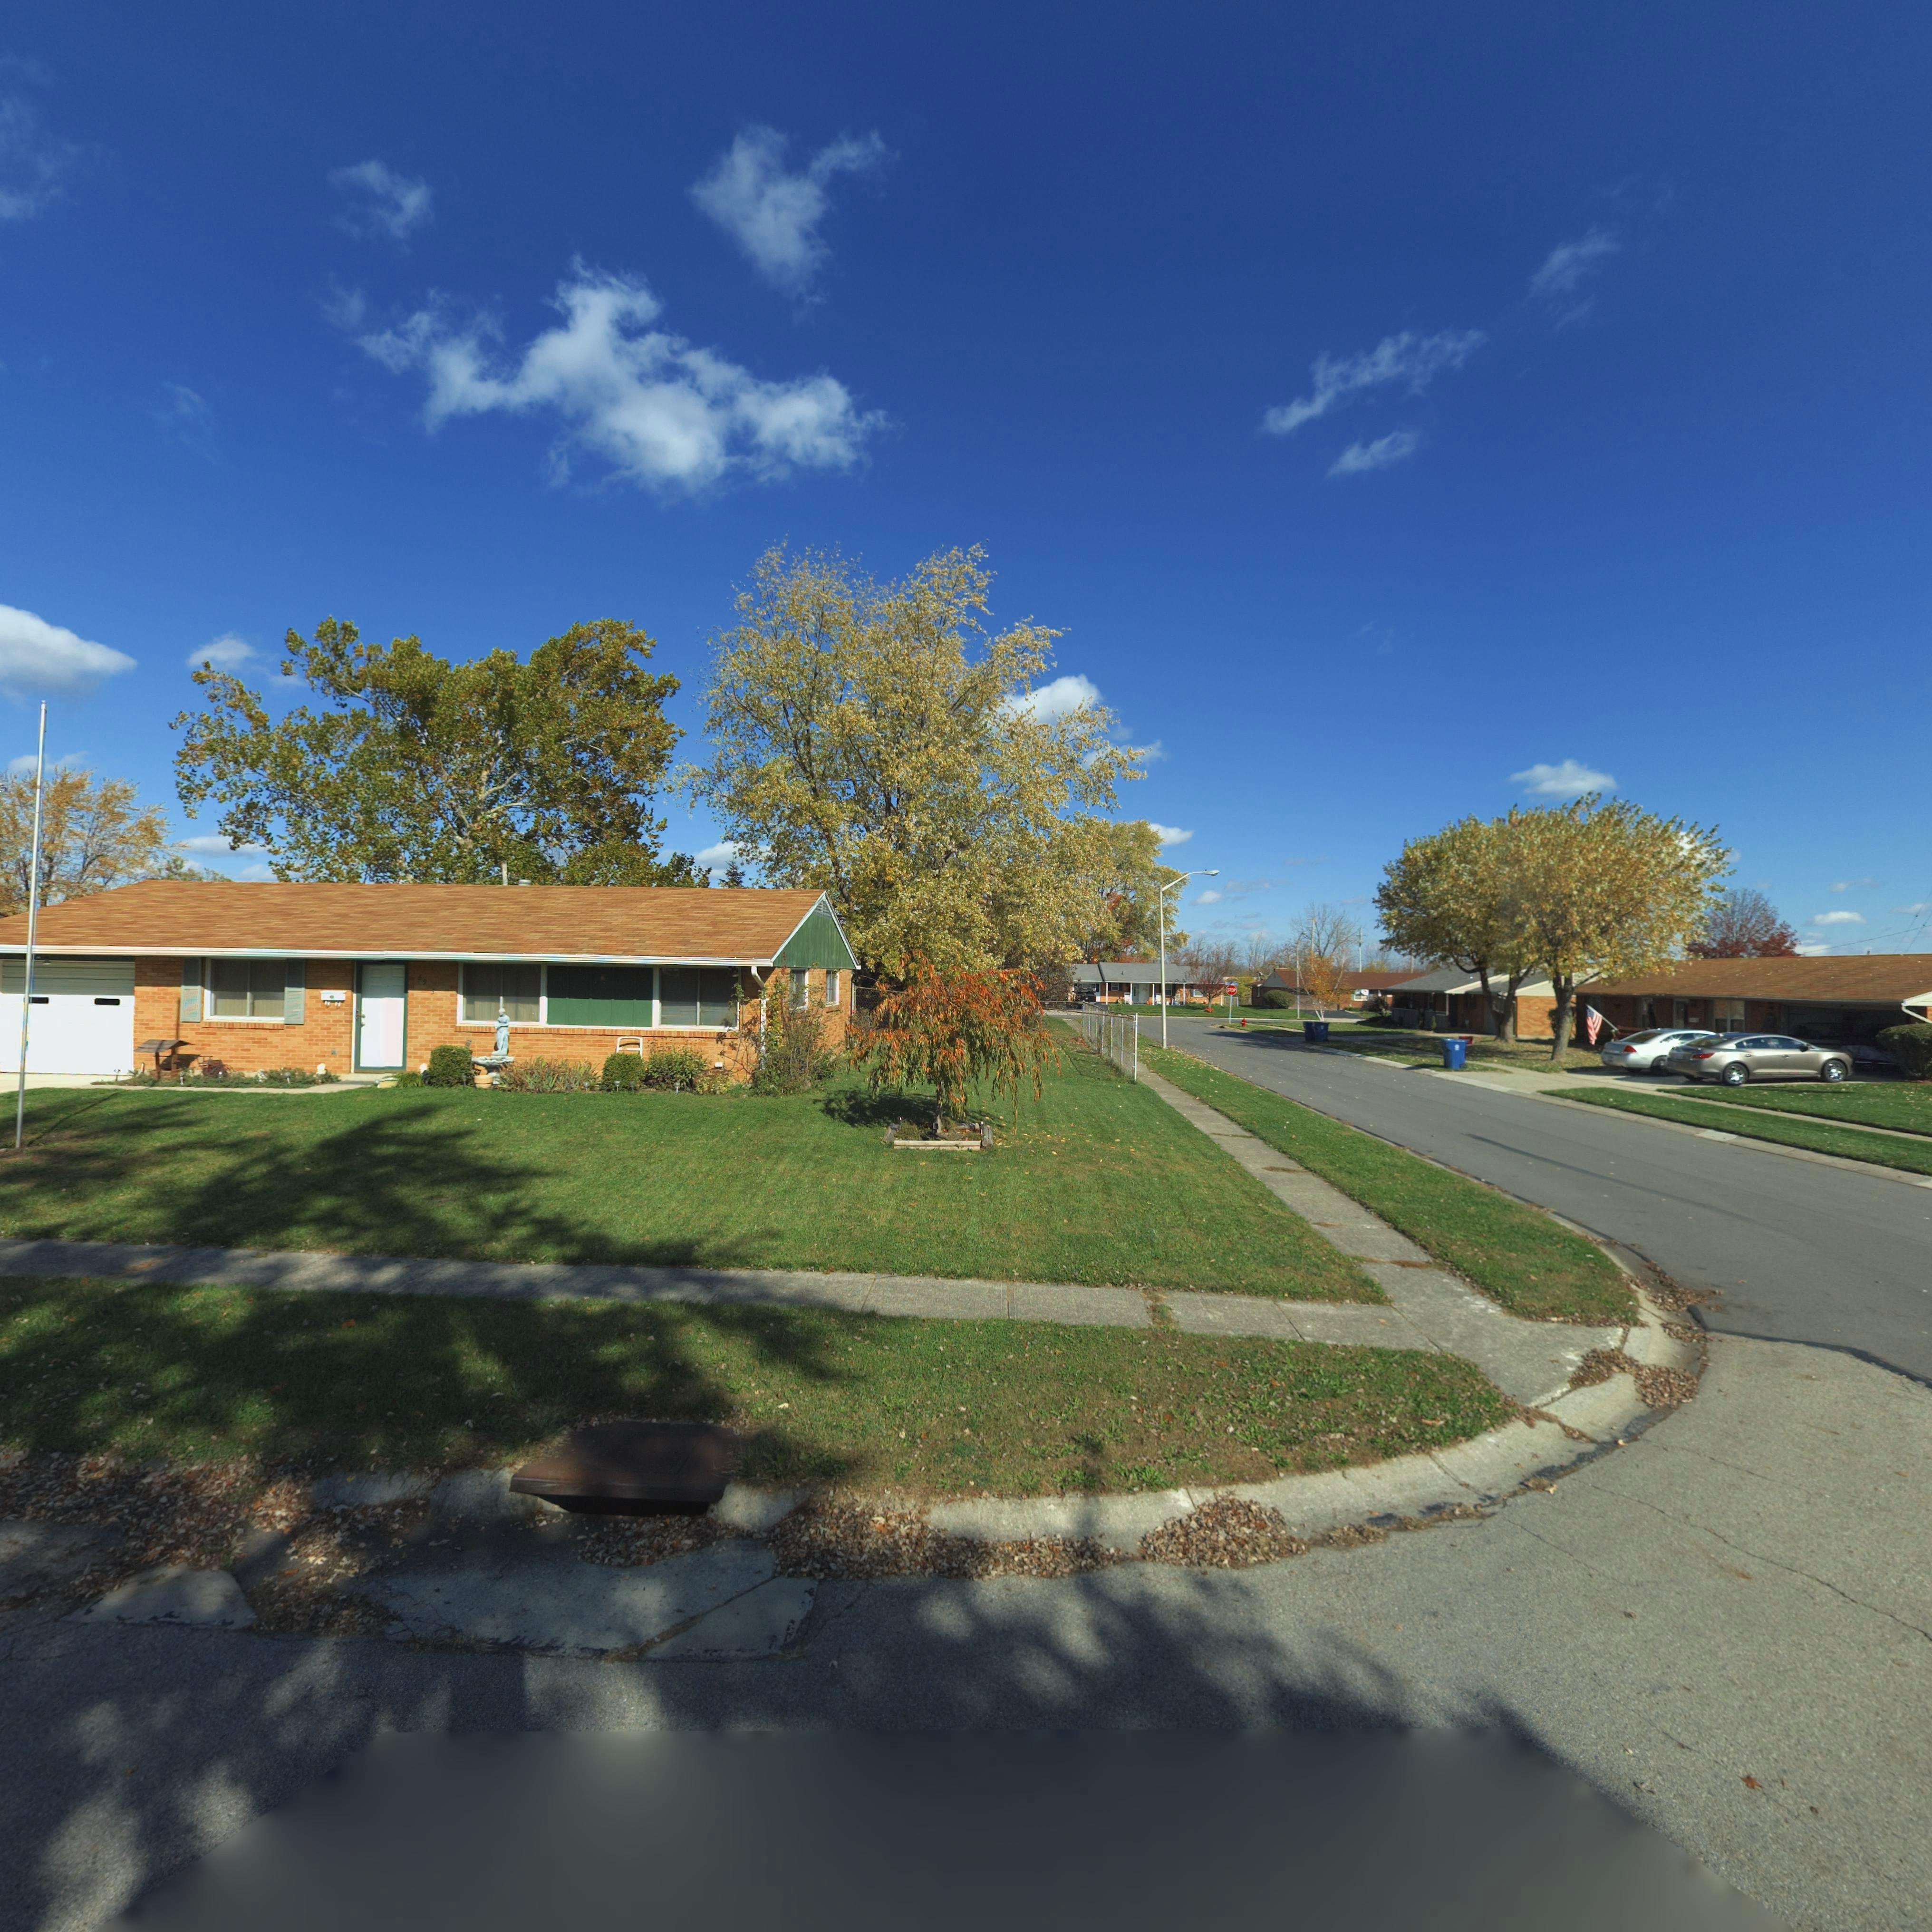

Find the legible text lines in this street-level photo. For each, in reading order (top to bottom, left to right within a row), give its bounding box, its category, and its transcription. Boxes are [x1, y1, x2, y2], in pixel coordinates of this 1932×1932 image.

[416, 973, 436, 996] StreetNumber: 69*3